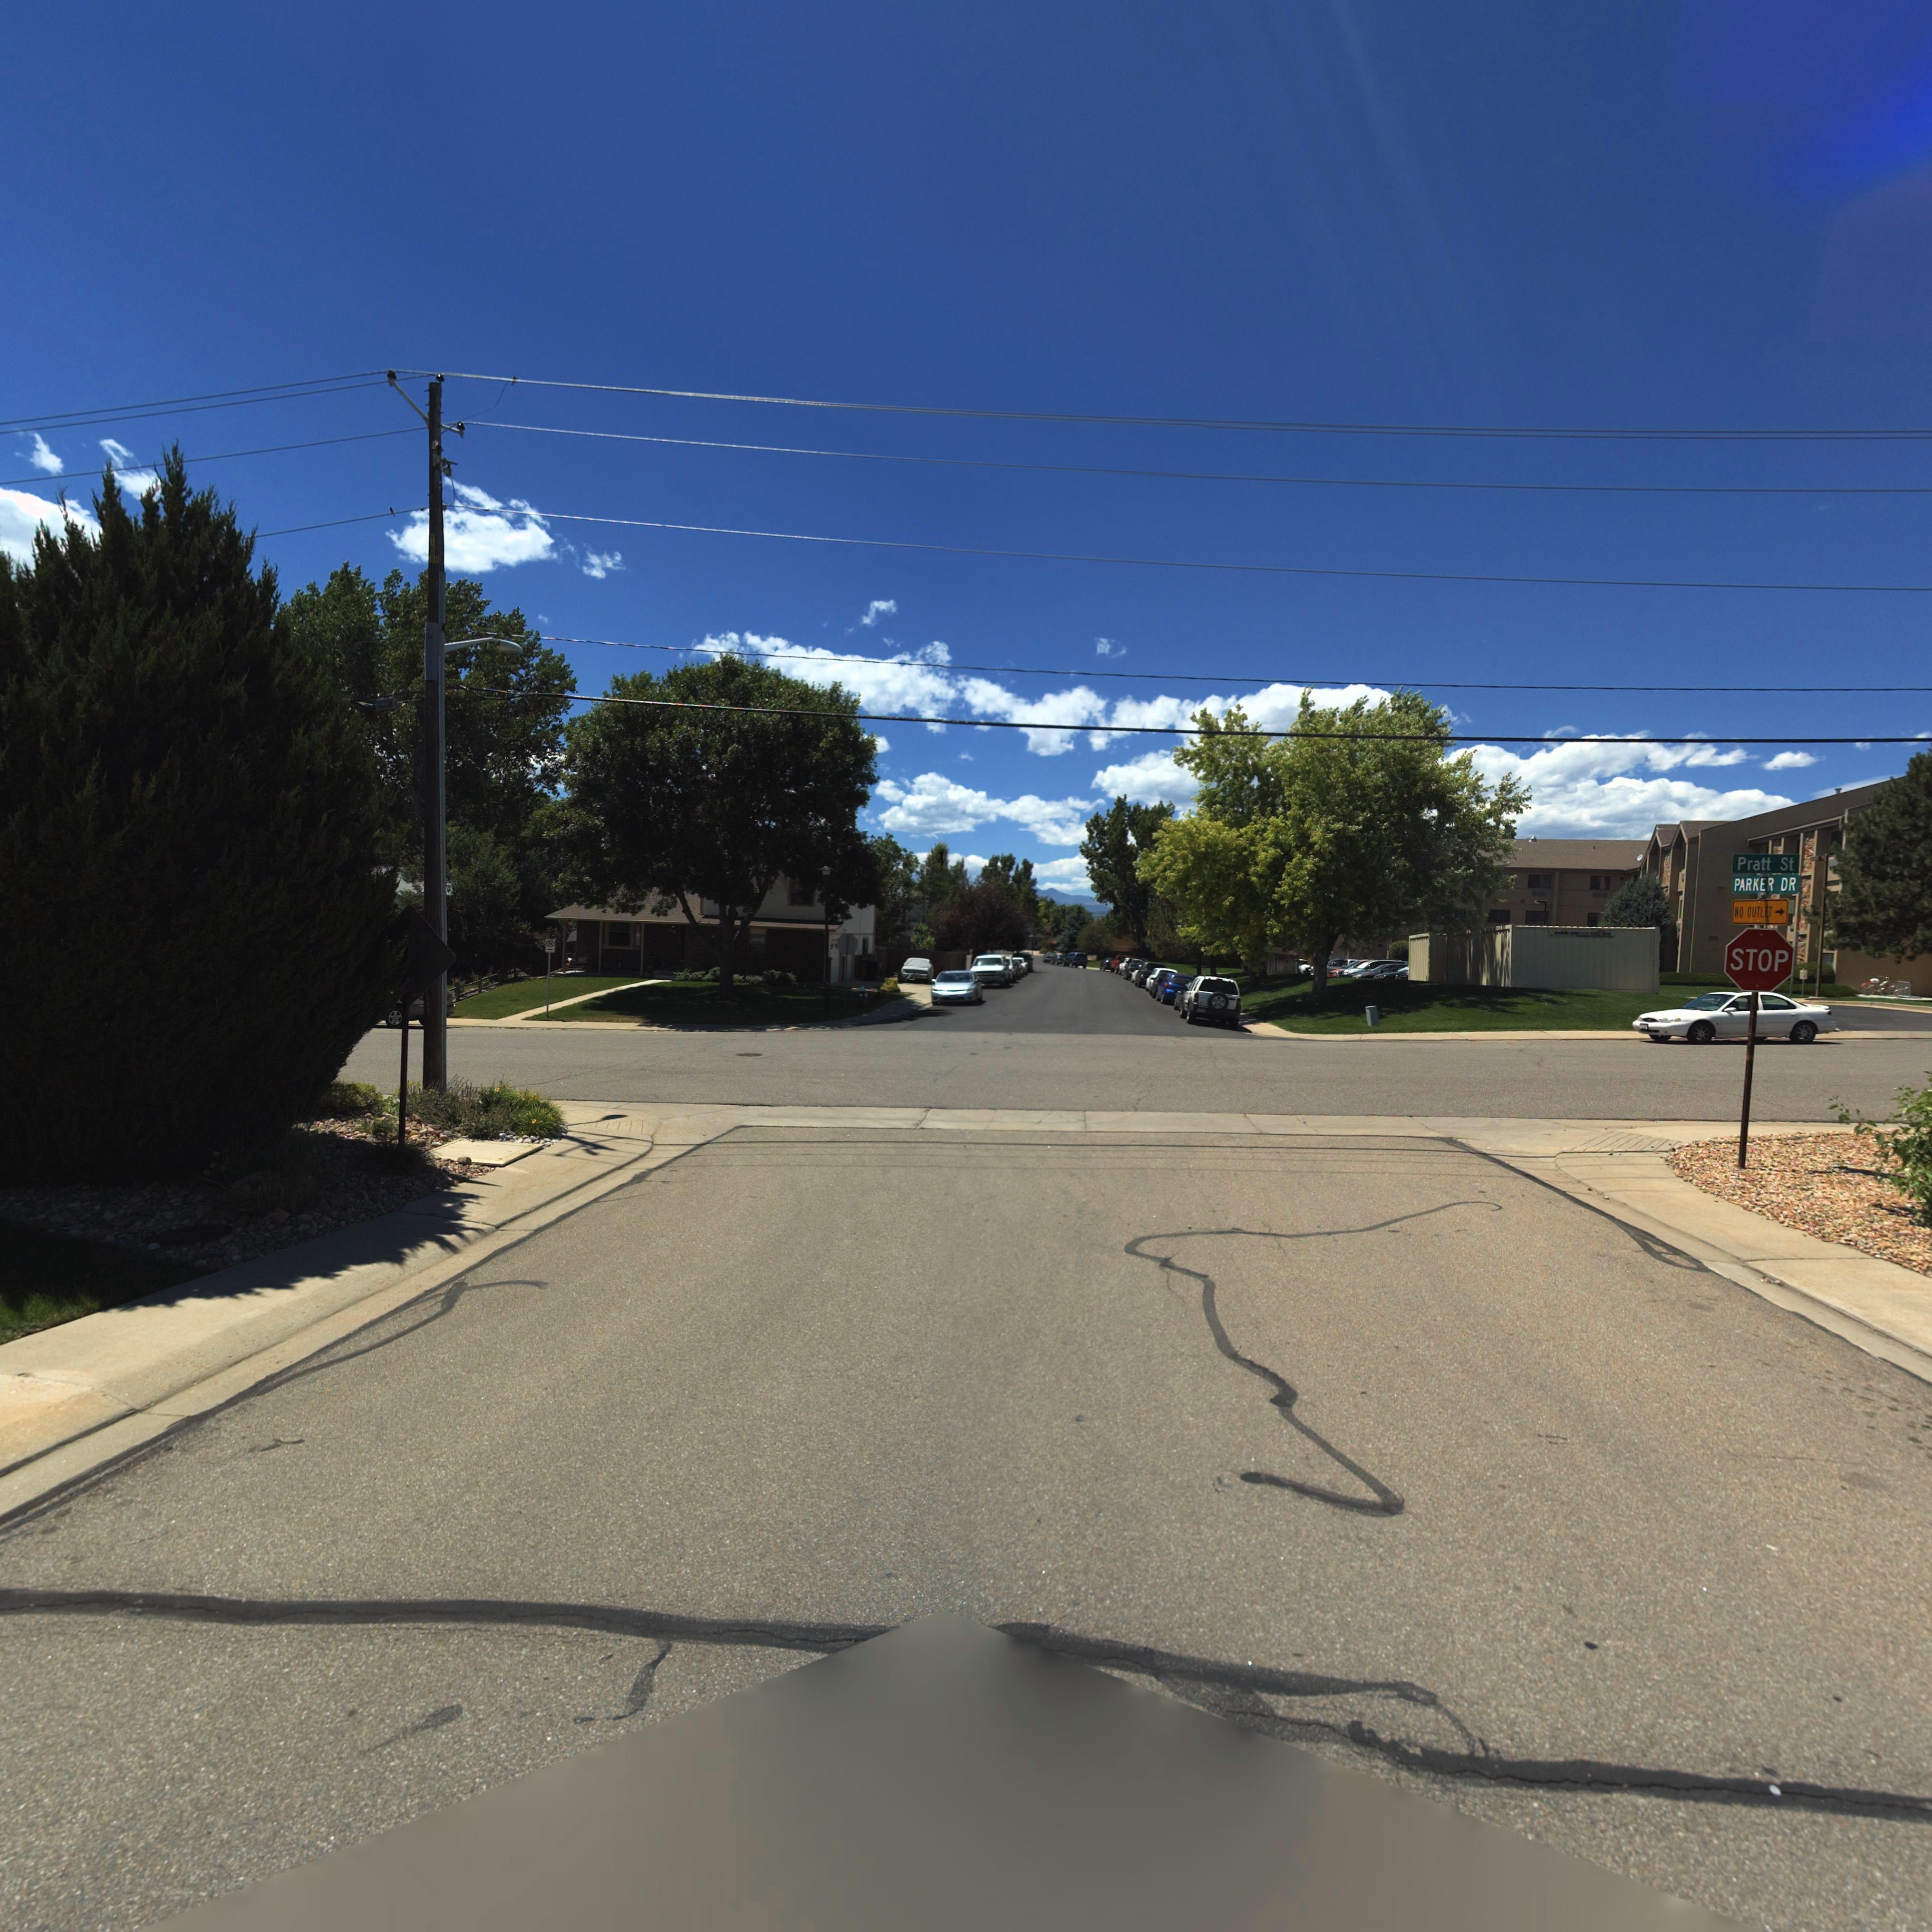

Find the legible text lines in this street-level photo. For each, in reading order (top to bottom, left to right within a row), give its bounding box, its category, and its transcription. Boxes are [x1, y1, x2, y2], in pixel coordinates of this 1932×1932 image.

[1737, 856, 1795, 871] StreetName: Pratt St
[1733, 877, 1797, 891] StreetName: PARKER DR